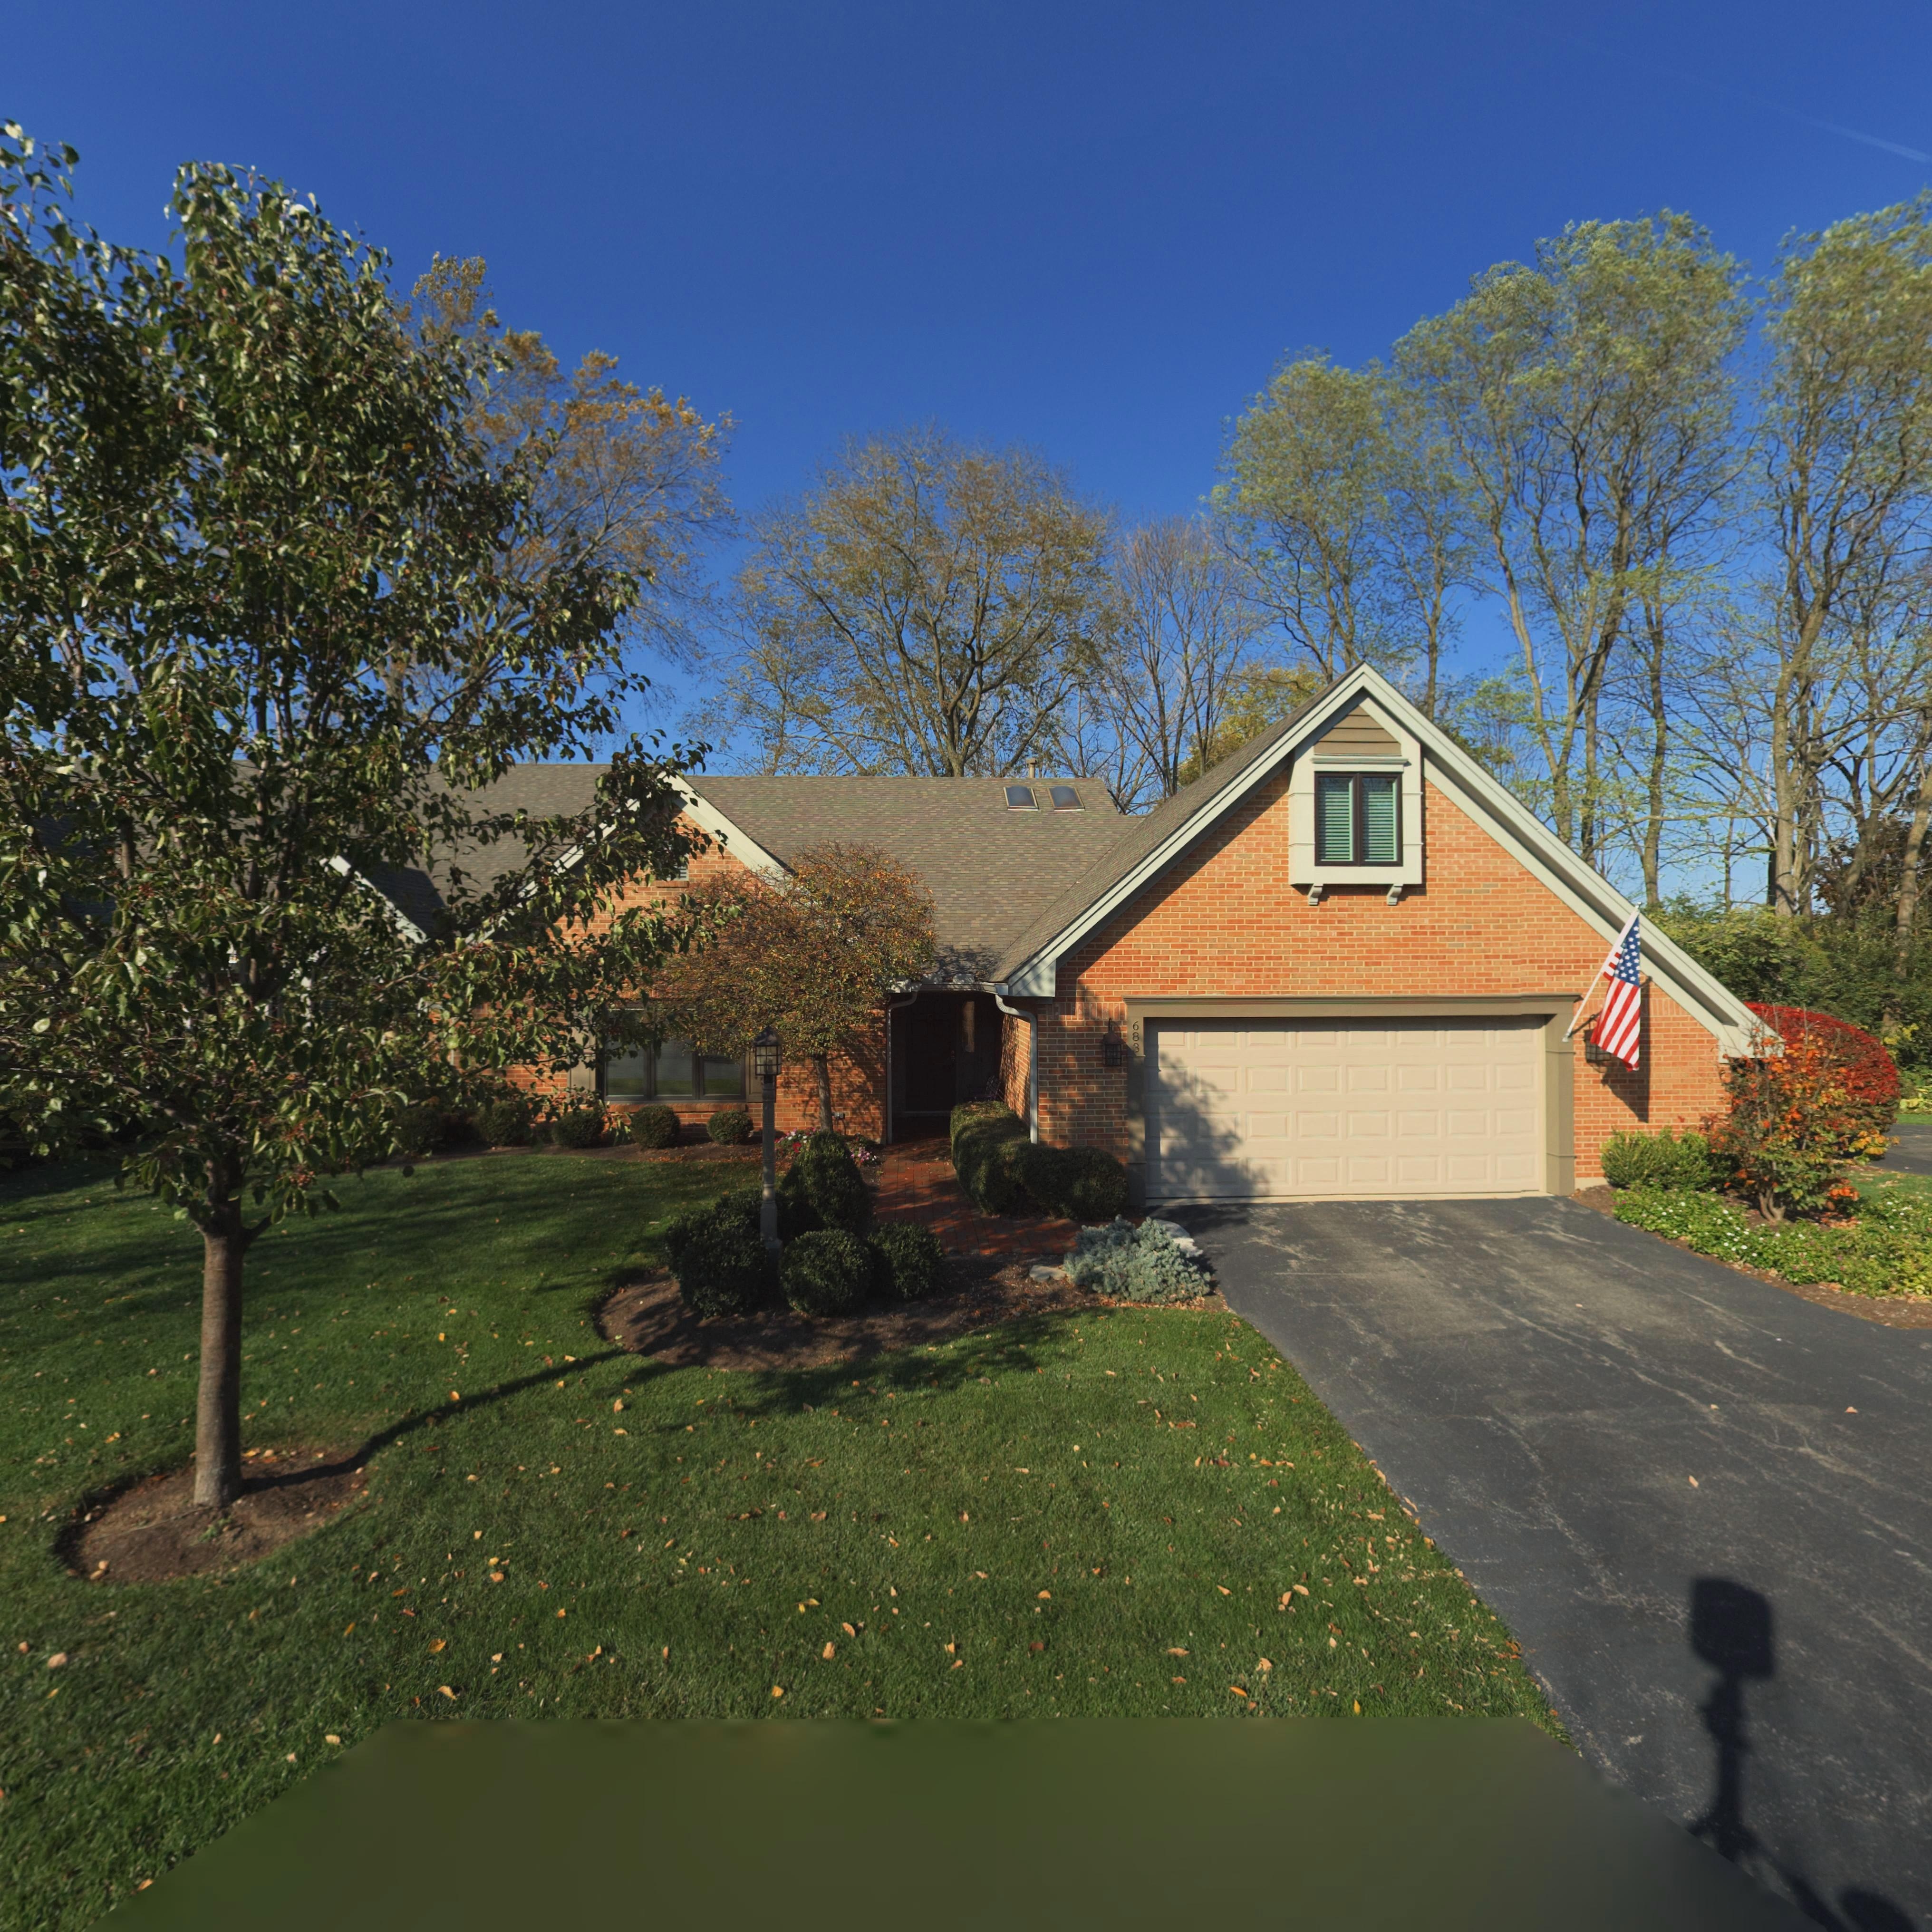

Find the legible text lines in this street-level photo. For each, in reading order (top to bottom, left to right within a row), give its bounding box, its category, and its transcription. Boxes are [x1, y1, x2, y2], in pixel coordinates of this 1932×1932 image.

[1131, 1019, 1140, 1054] StreetNumber: 683